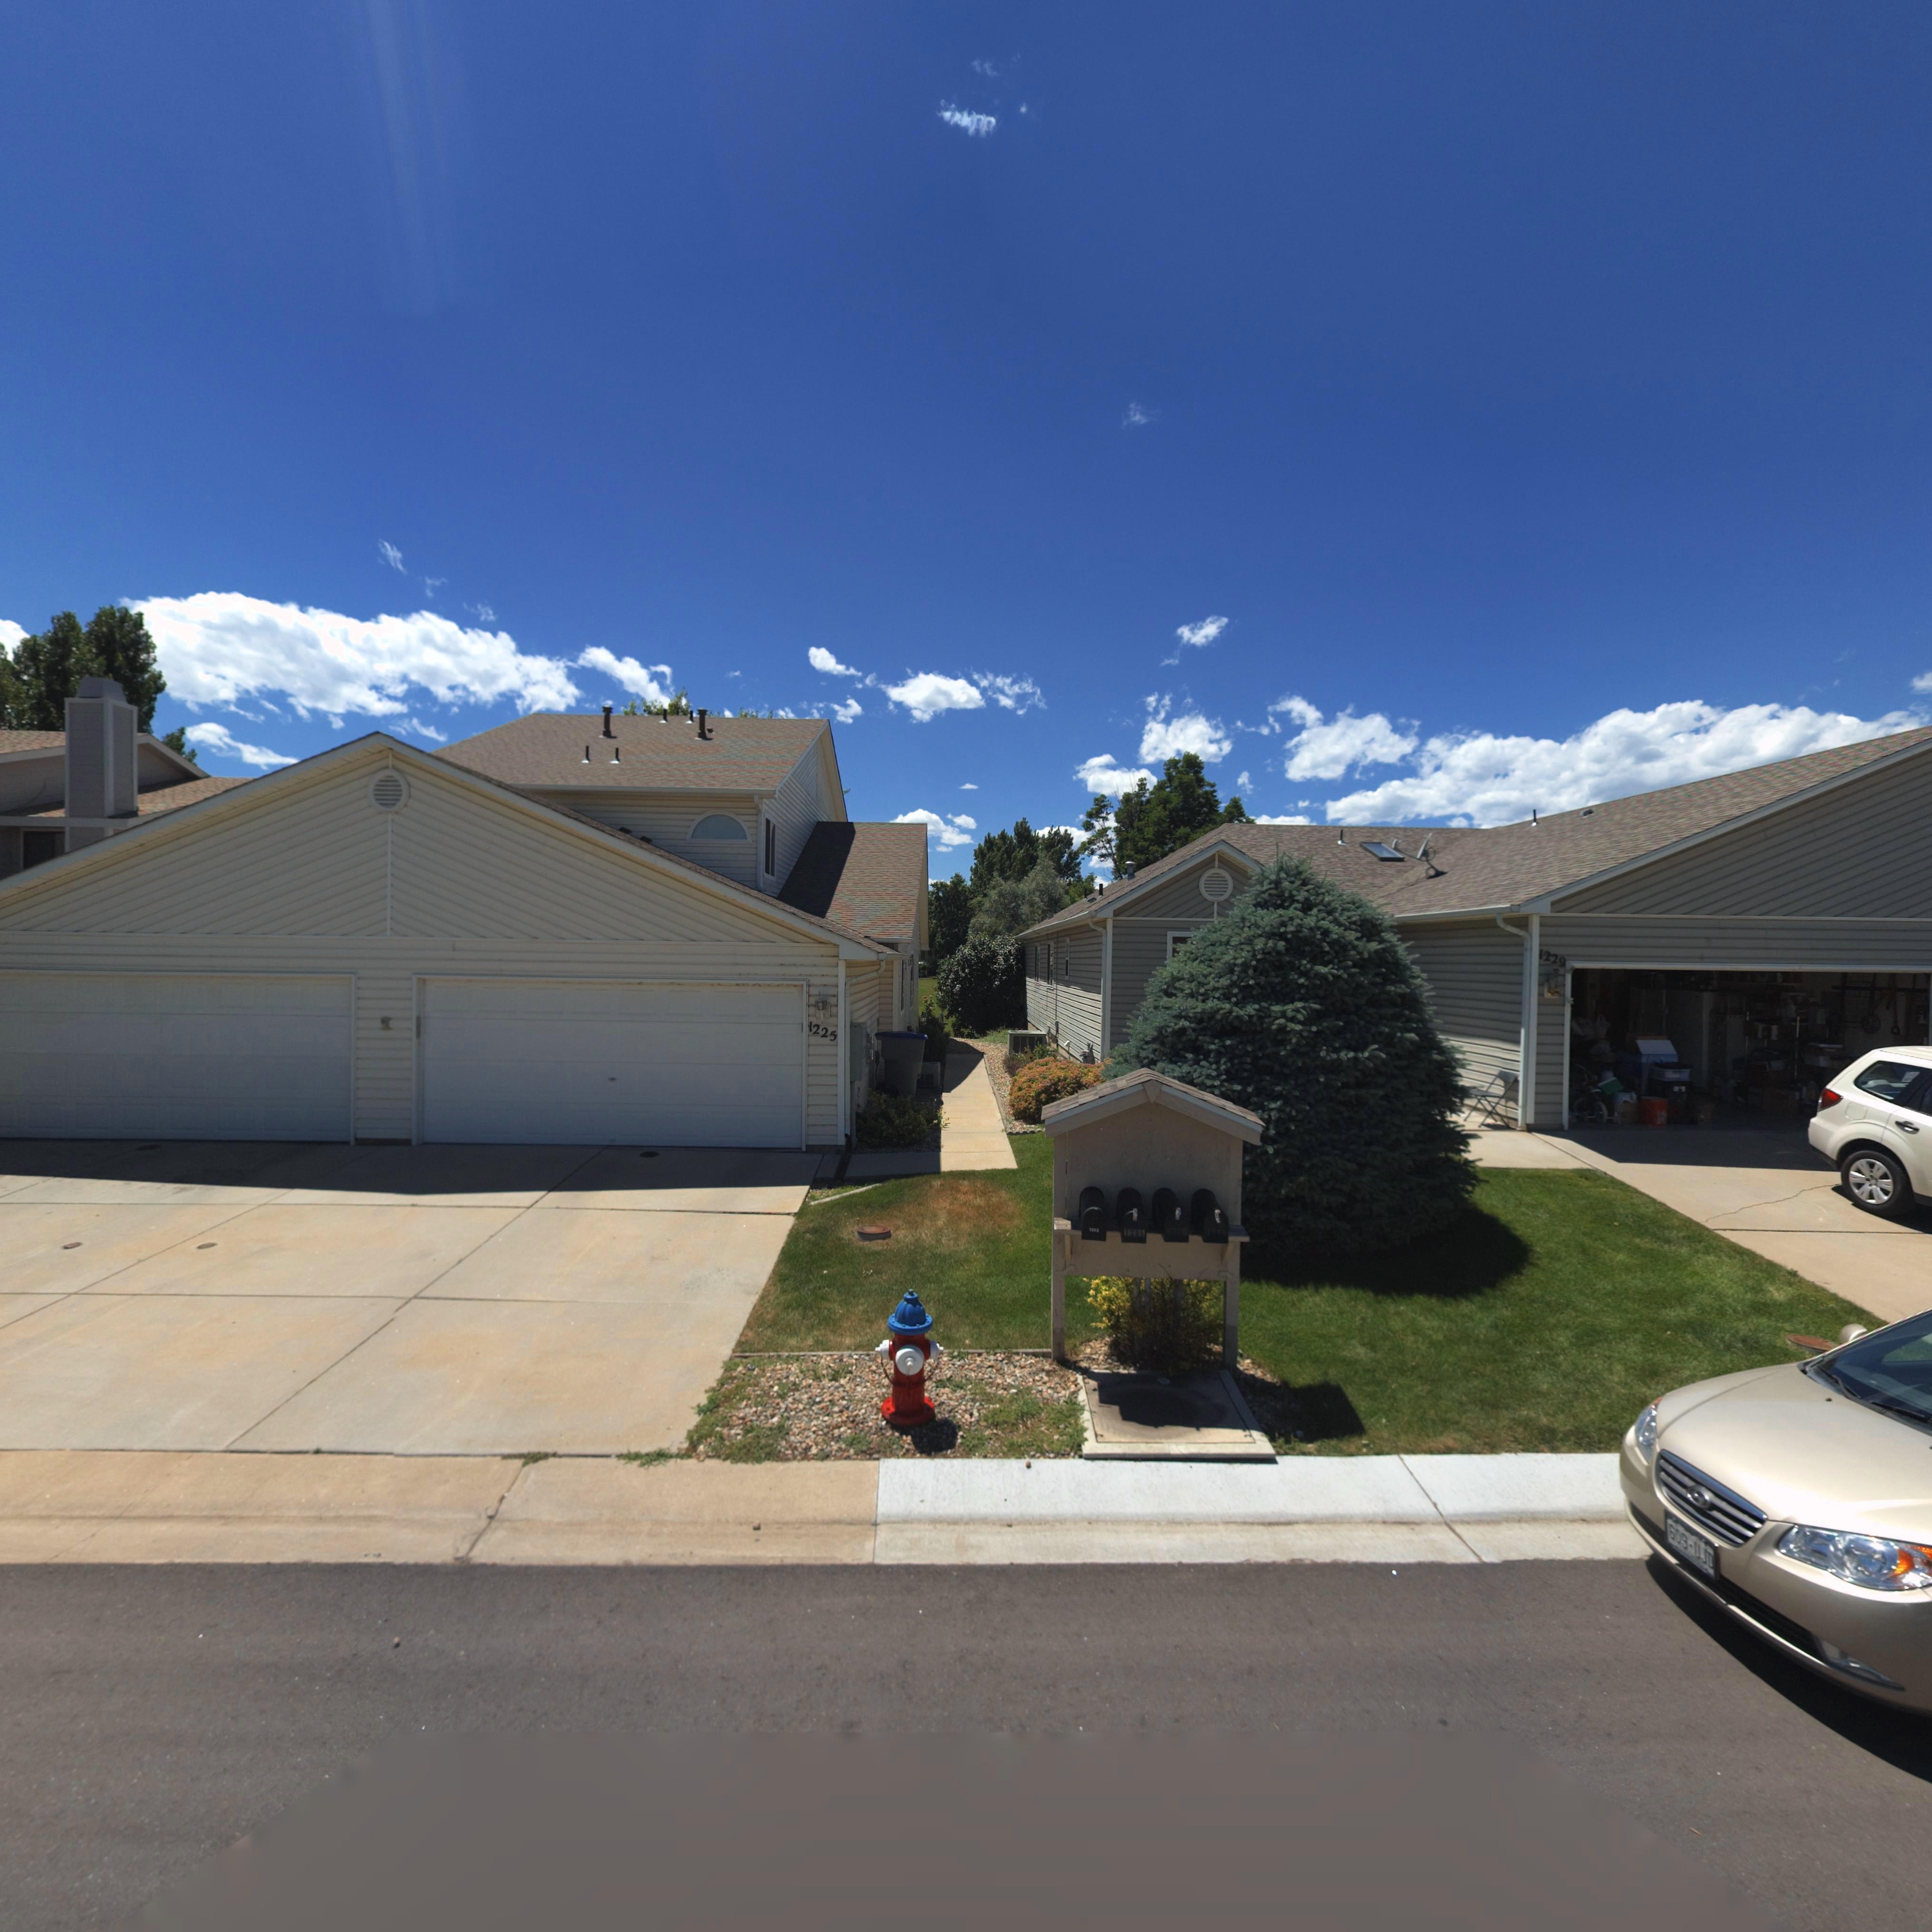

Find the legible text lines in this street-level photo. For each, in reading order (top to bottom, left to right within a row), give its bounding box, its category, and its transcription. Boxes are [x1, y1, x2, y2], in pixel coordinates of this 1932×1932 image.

[1538, 947, 1566, 968] StreetNumber: 1229
[808, 1021, 837, 1042] StreetNumber: 1225
[1088, 1227, 1099, 1233] StreetNumber: 1223
[1123, 1227, 1144, 1237] StreetNumber: 1225